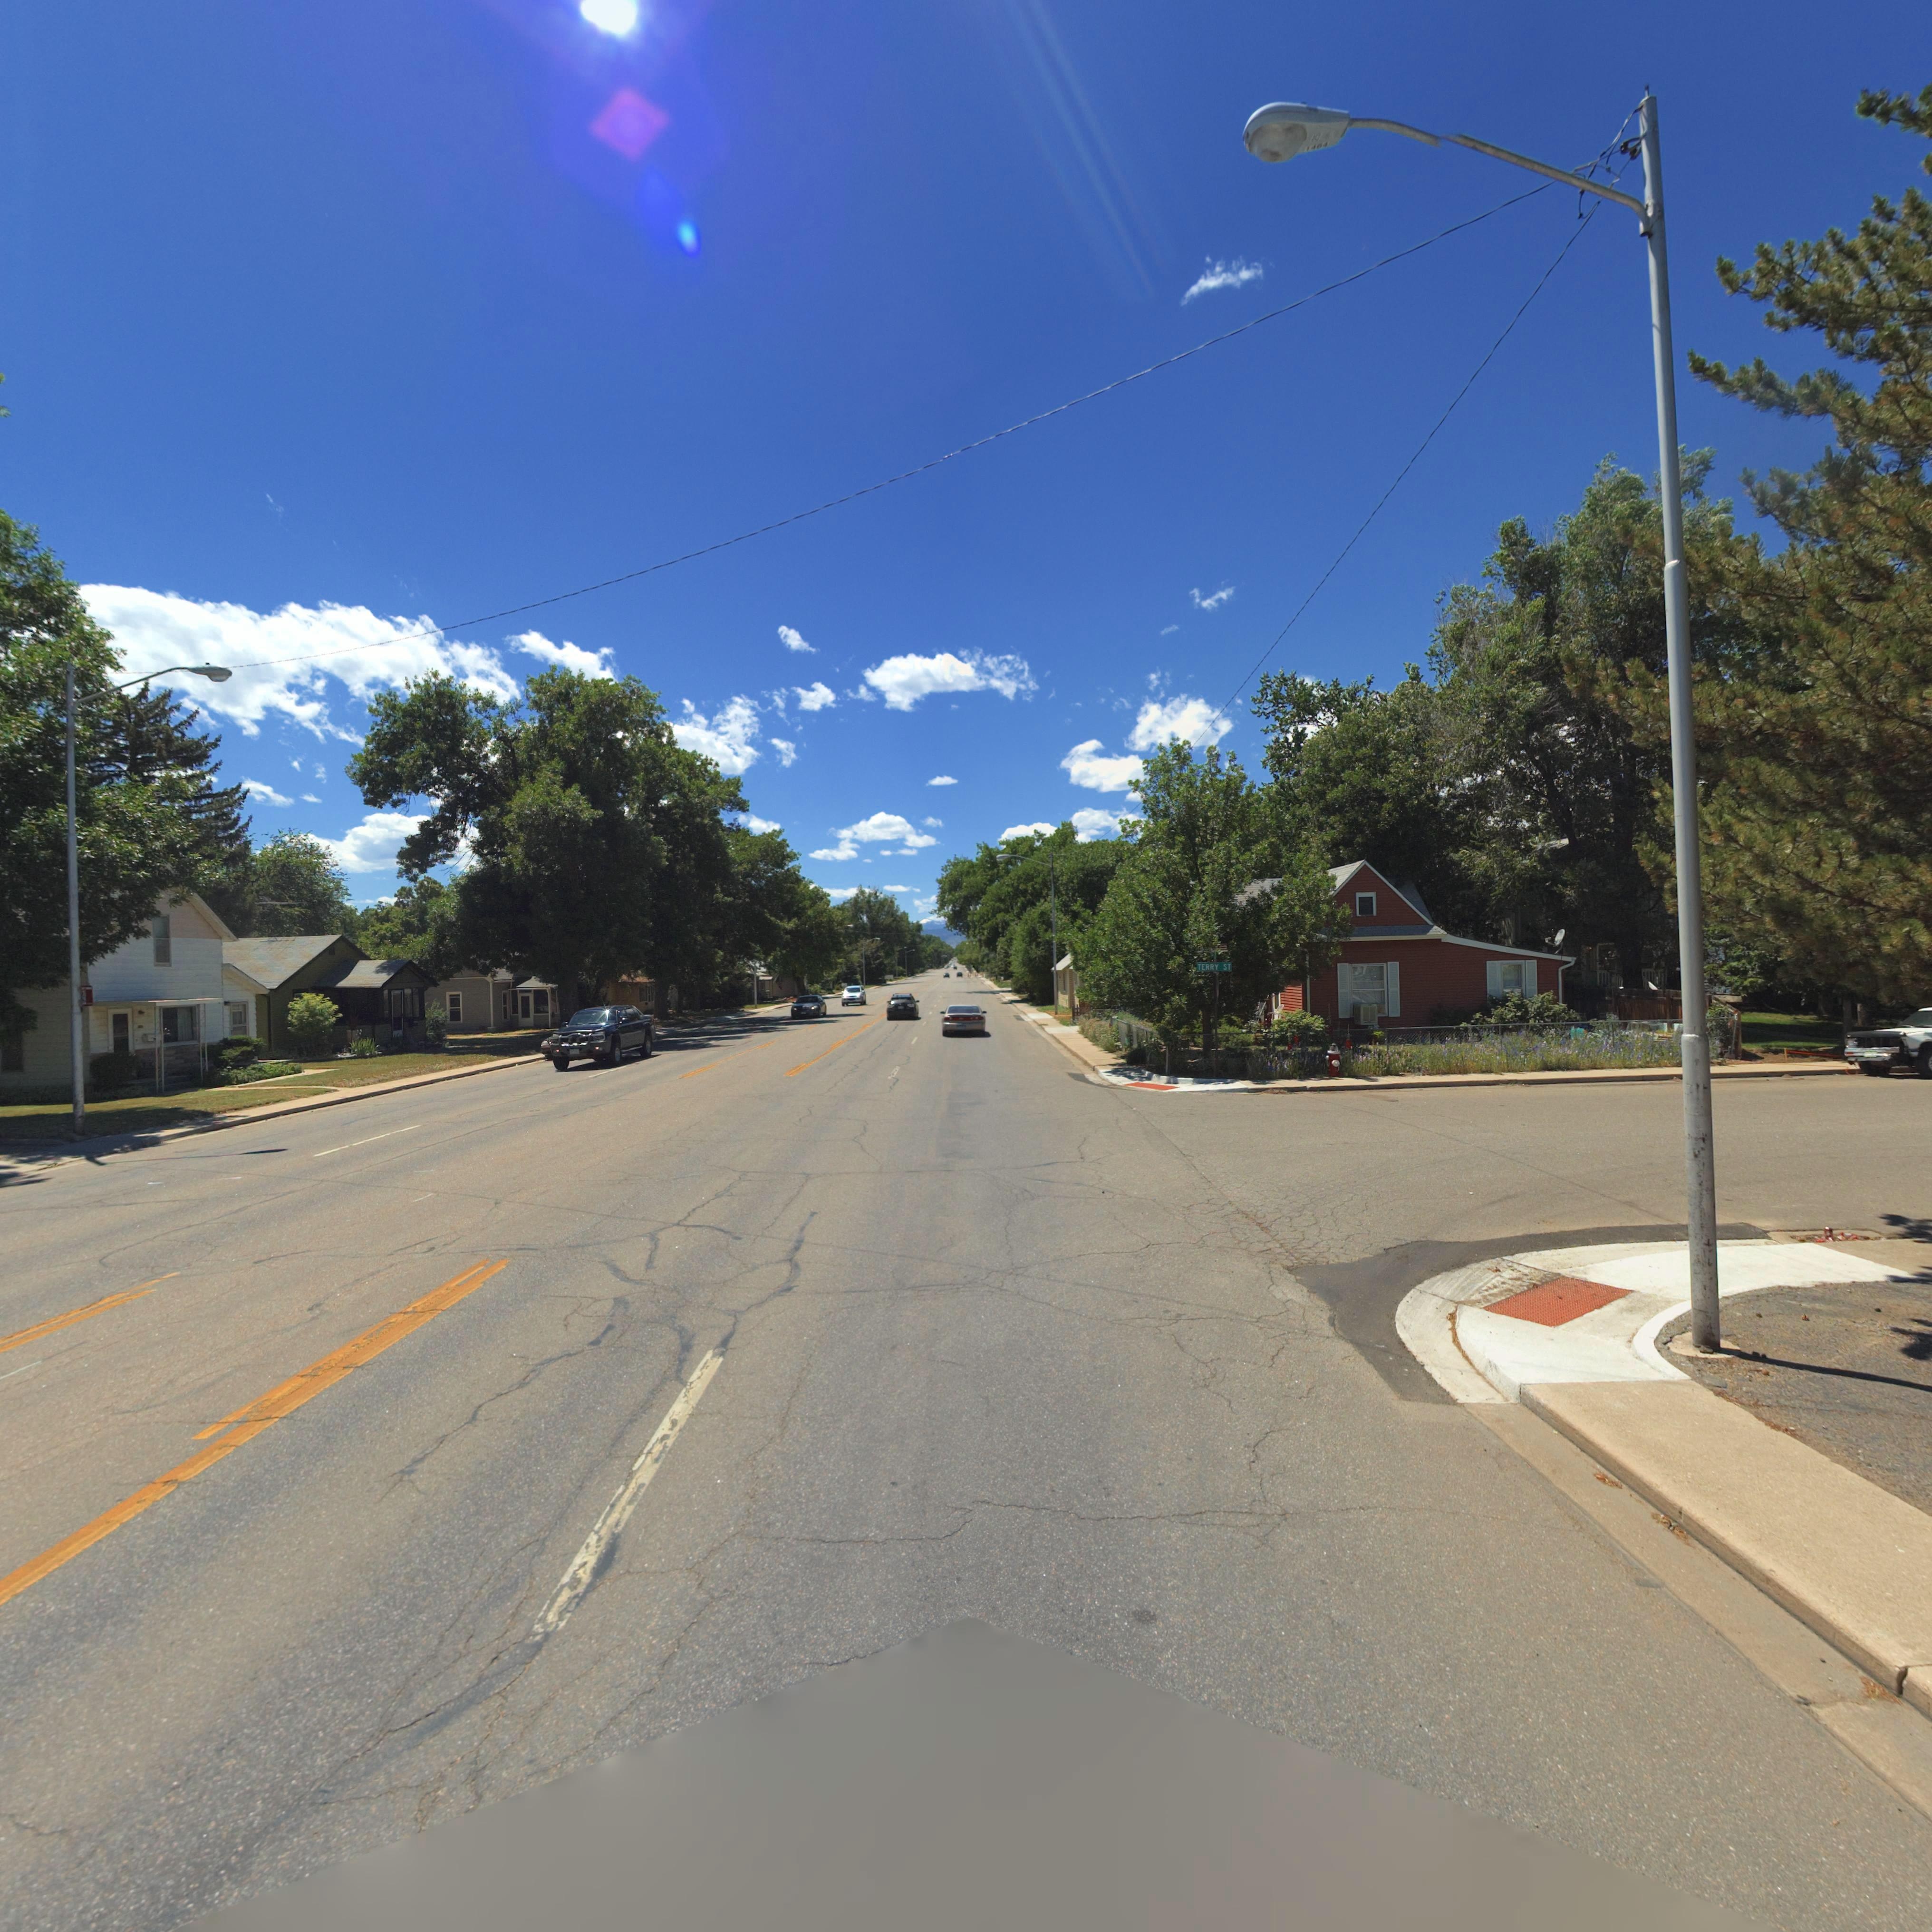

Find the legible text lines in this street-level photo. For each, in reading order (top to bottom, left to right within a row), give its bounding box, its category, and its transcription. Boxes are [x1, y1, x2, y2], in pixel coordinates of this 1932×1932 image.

[1197, 964, 1231, 970] StreetName: TERRY ST